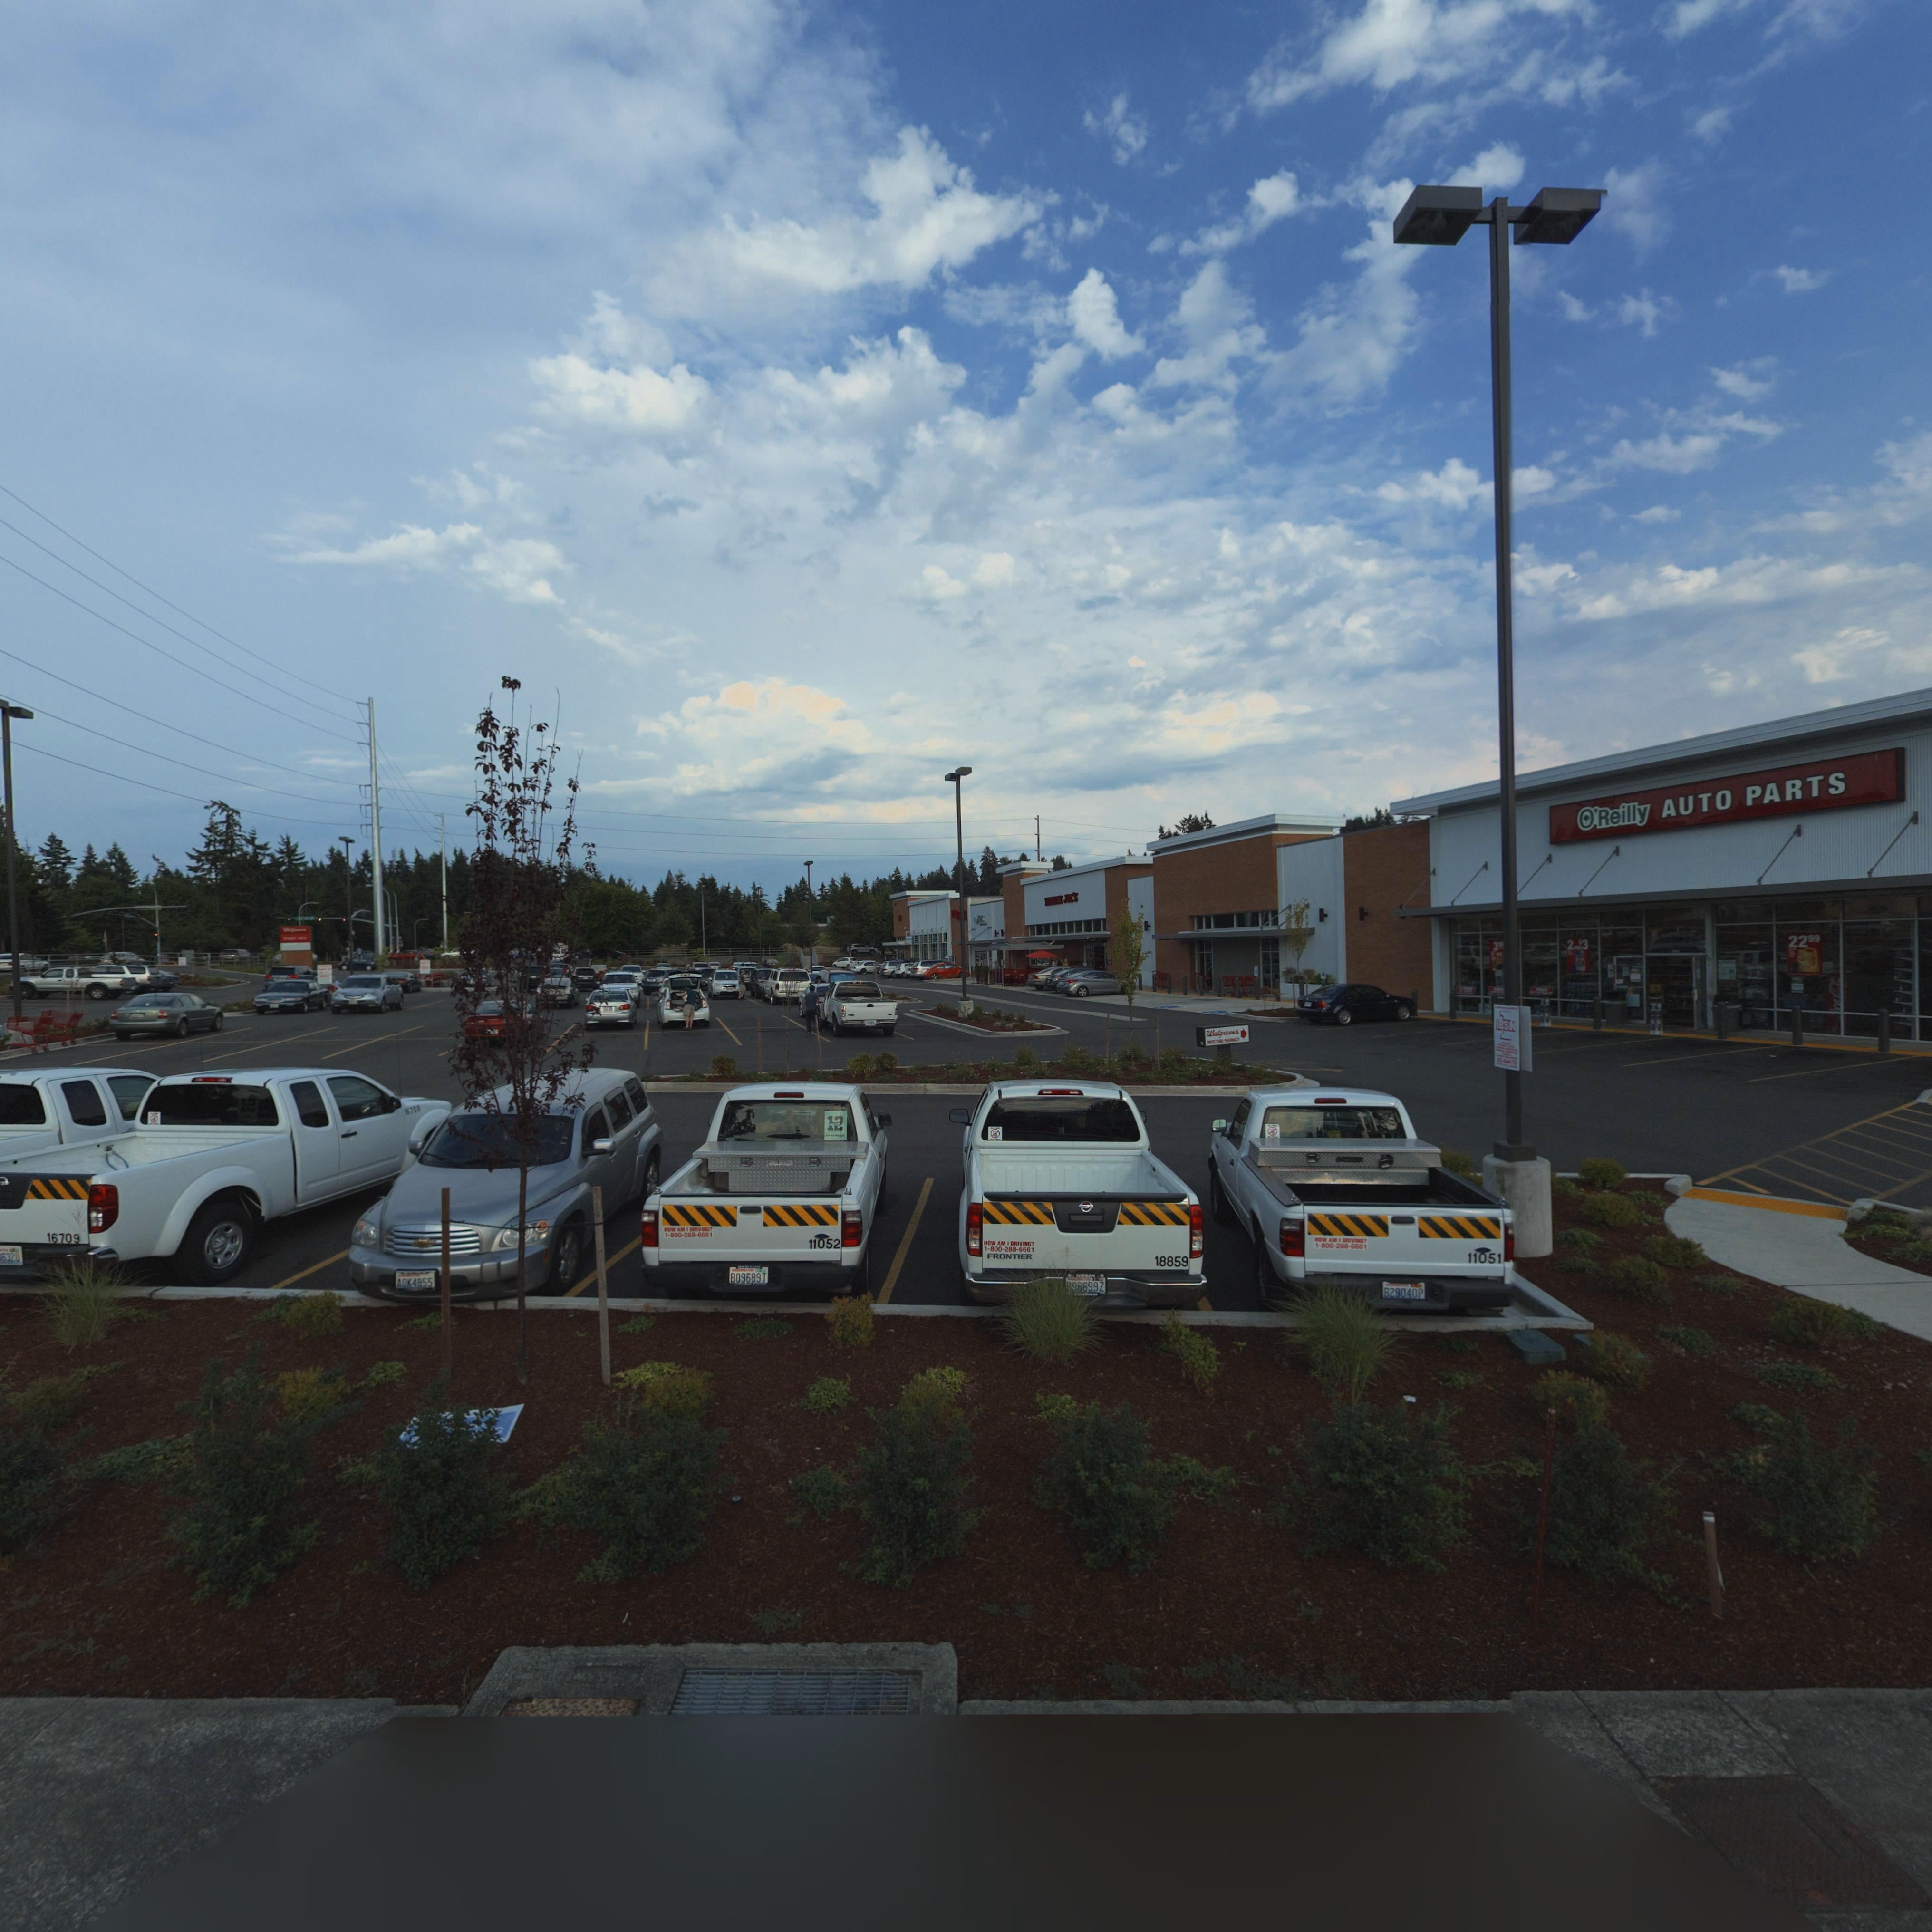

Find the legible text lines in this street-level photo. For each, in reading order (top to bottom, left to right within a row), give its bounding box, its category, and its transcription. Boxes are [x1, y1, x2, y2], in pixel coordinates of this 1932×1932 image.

[1661, 771, 1847, 818] BusinessName: AUTO PARTS
[1577, 800, 1652, 832] BusinessName: O'Reilly
[1207, 1028, 1239, 1037] BusinessName: Walgreens
[1207, 1037, 1240, 1044] BusinessName: DRIVE-THRU PHARMACY